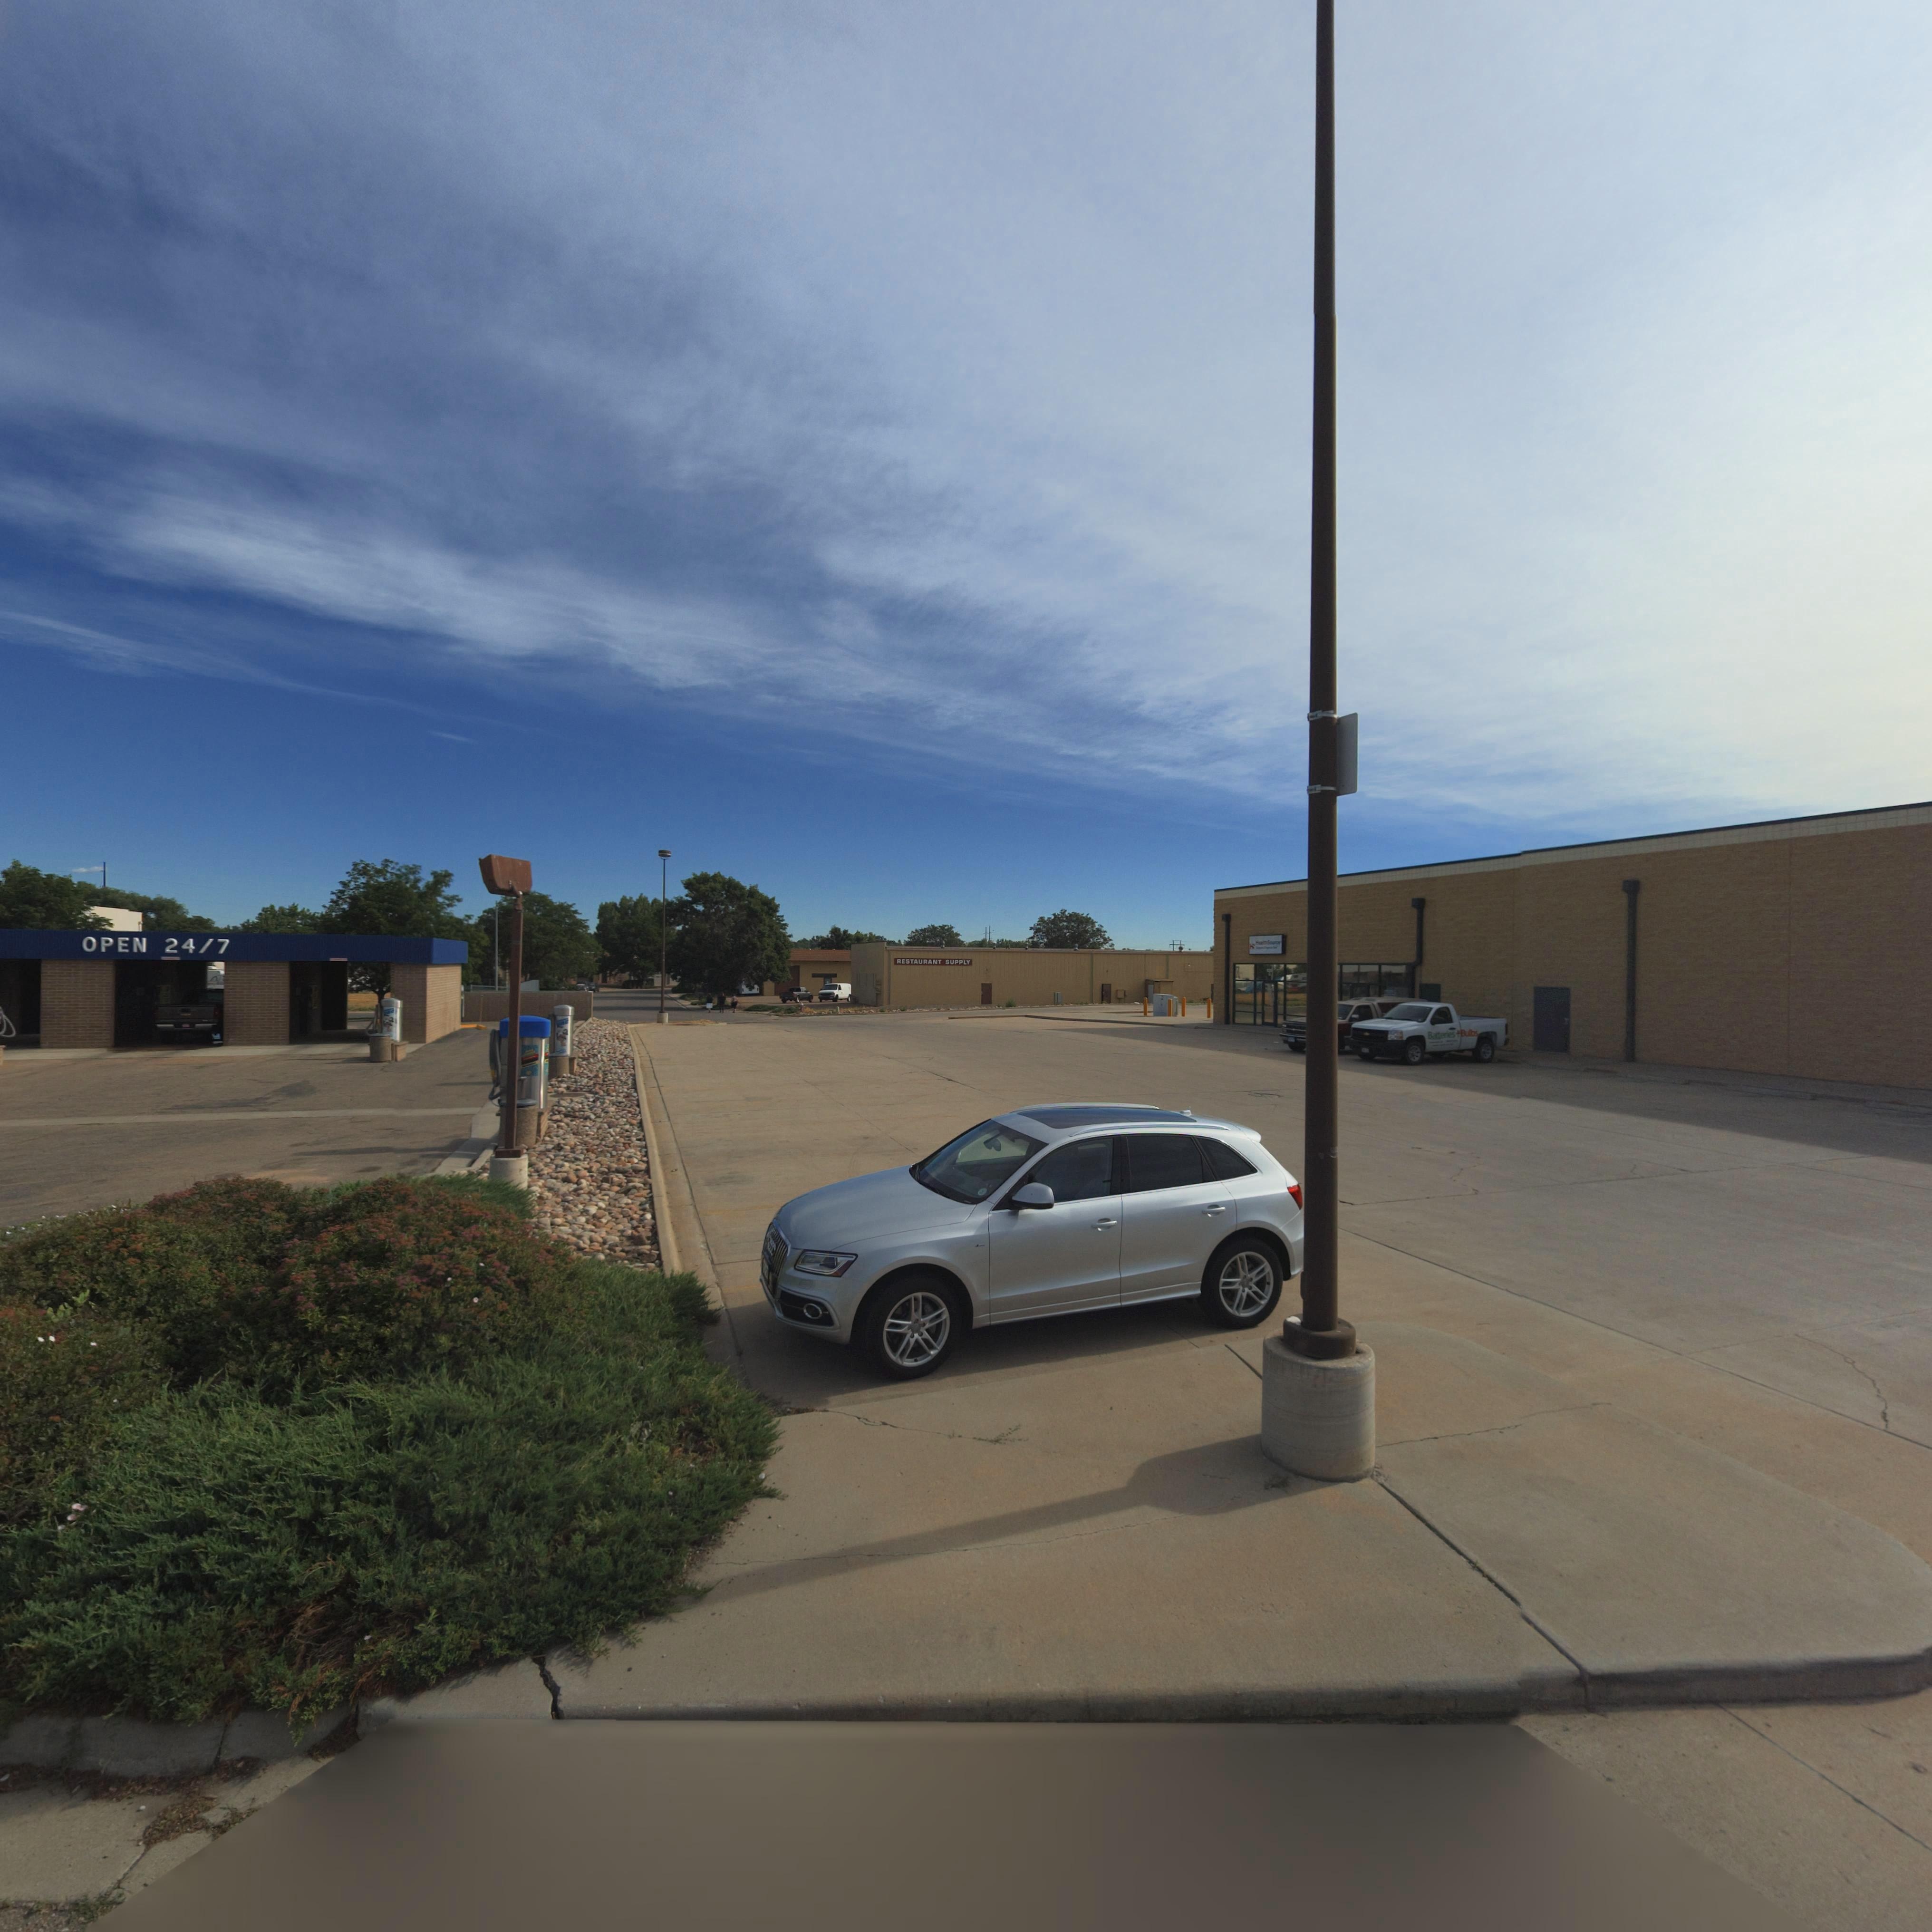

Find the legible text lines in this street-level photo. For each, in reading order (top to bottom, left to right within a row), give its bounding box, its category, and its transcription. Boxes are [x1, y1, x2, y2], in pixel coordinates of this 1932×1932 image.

[1255, 939, 1280, 945] BusinessName: H***** Sou*c*